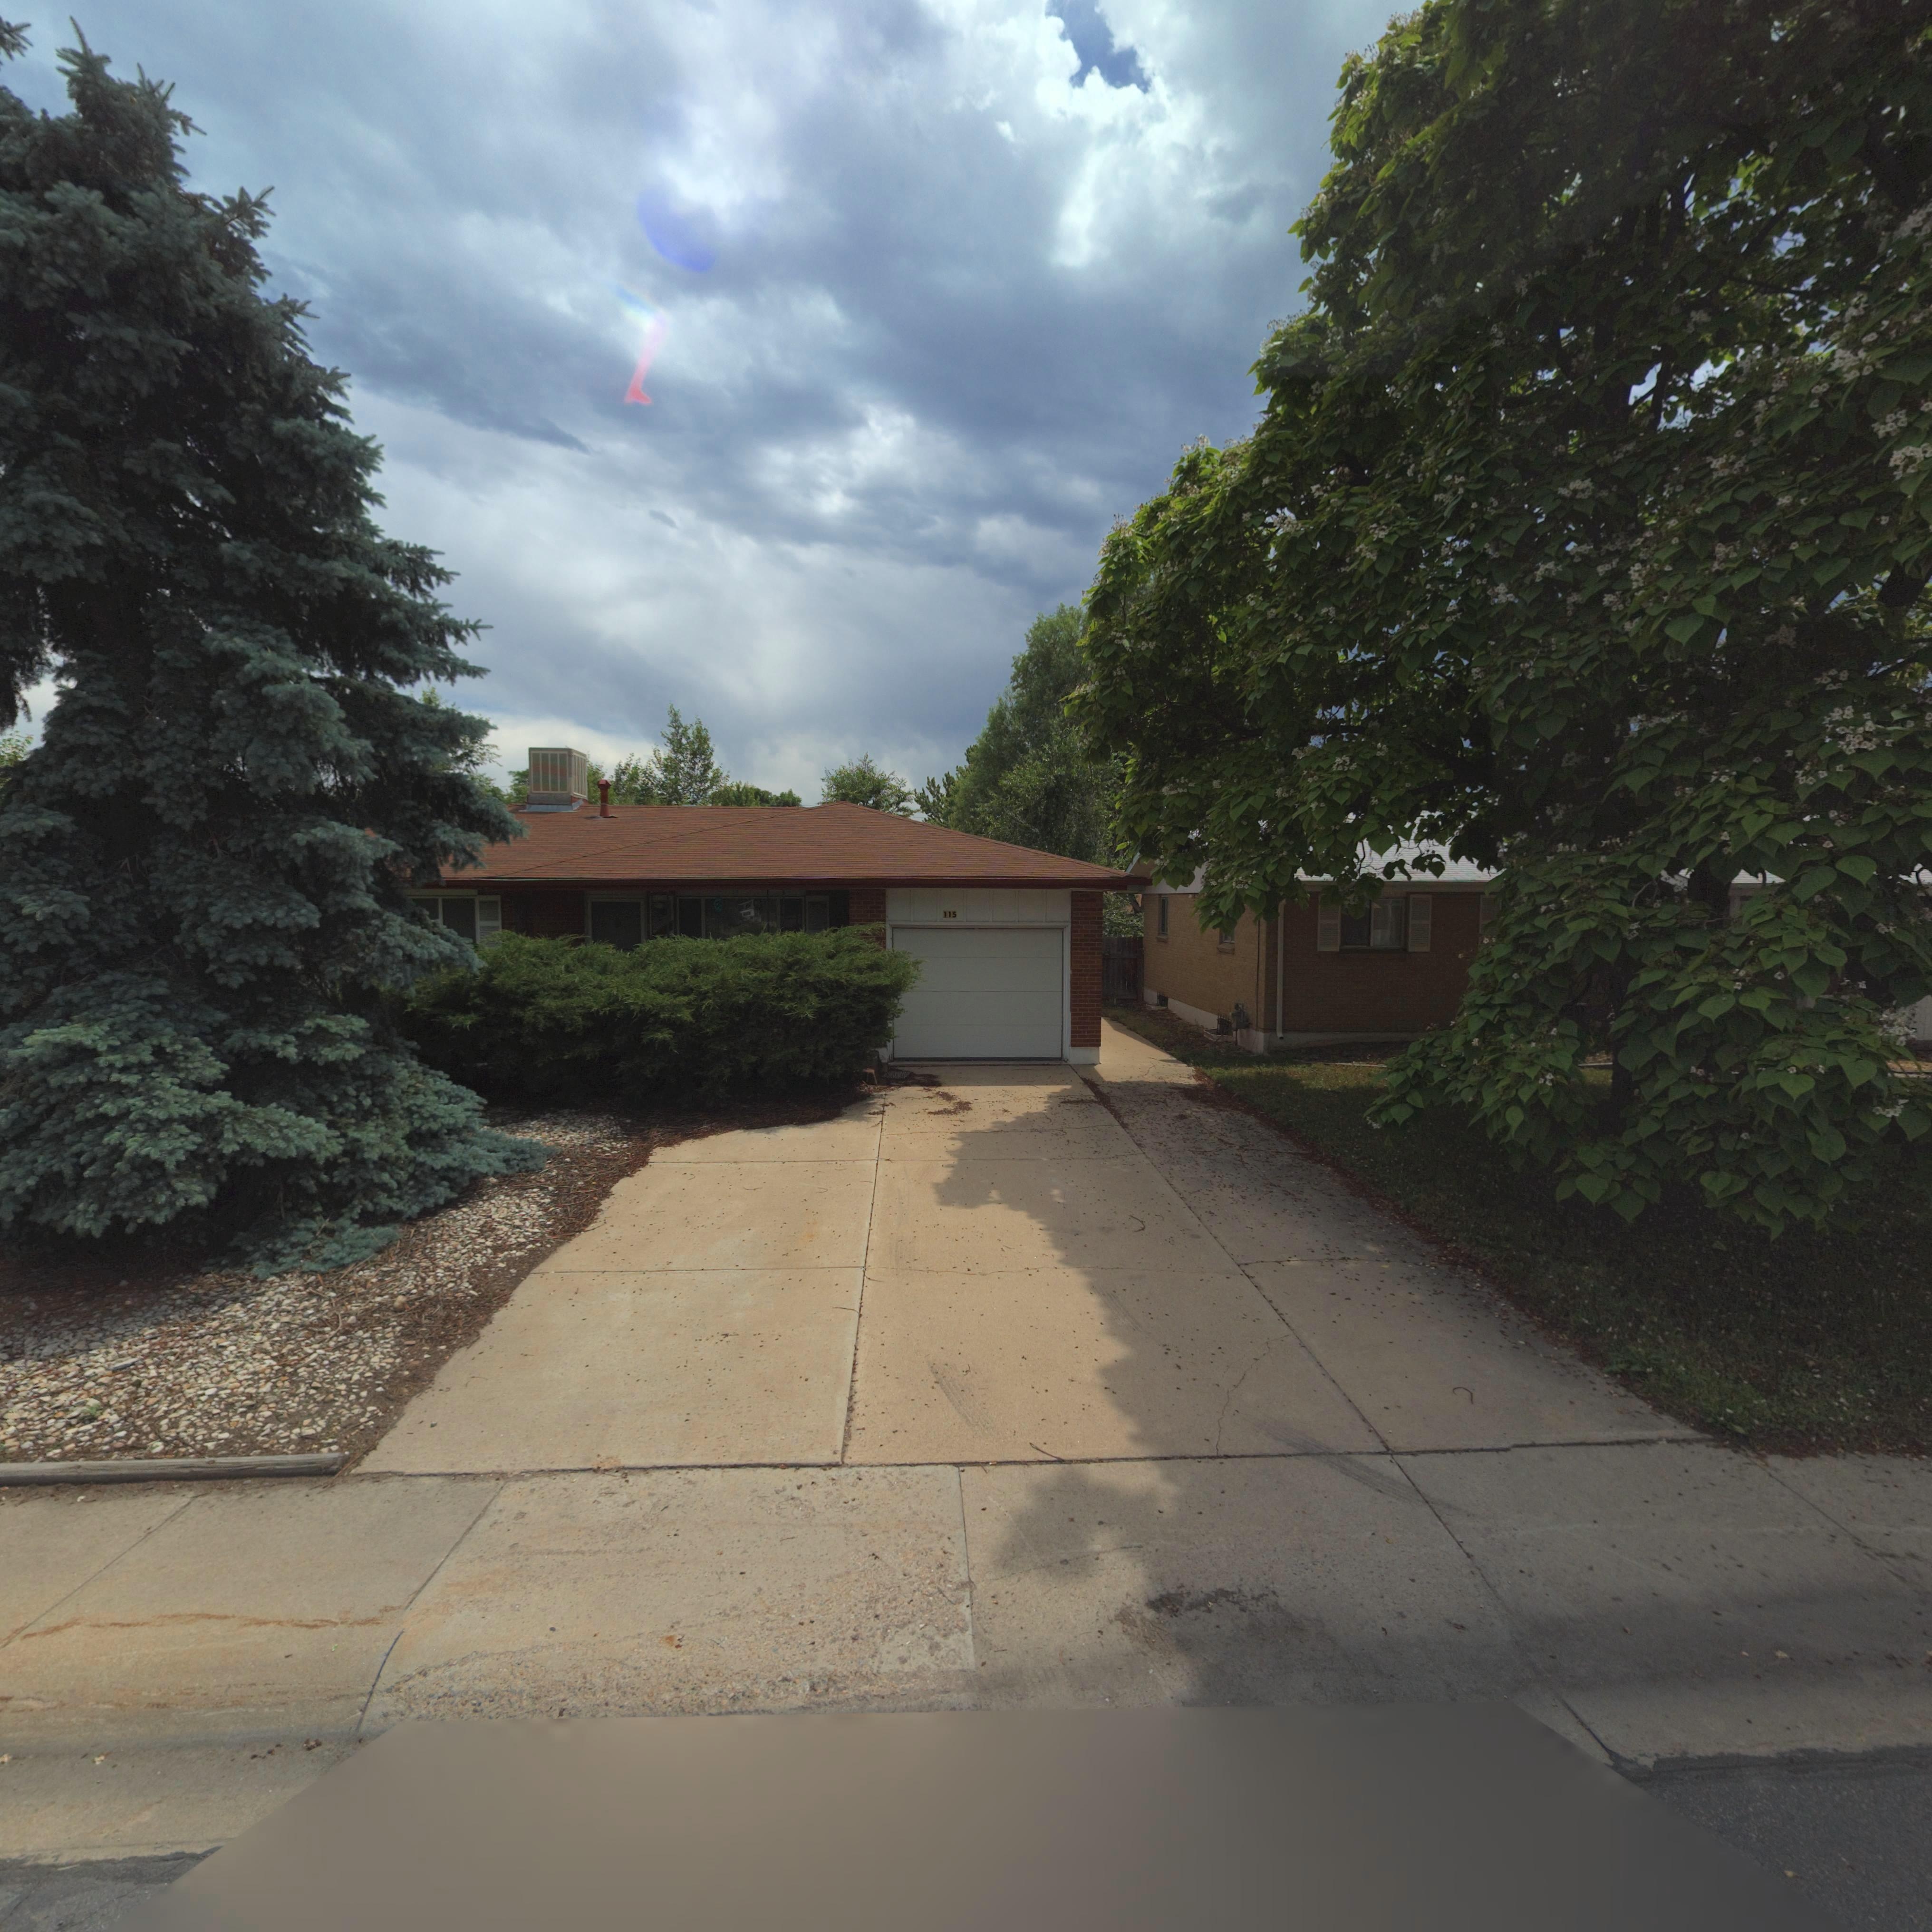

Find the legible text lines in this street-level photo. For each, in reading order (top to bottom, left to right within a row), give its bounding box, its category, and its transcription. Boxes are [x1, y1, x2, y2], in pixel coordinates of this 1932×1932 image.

[943, 910, 956, 918] StreetNumber: 115